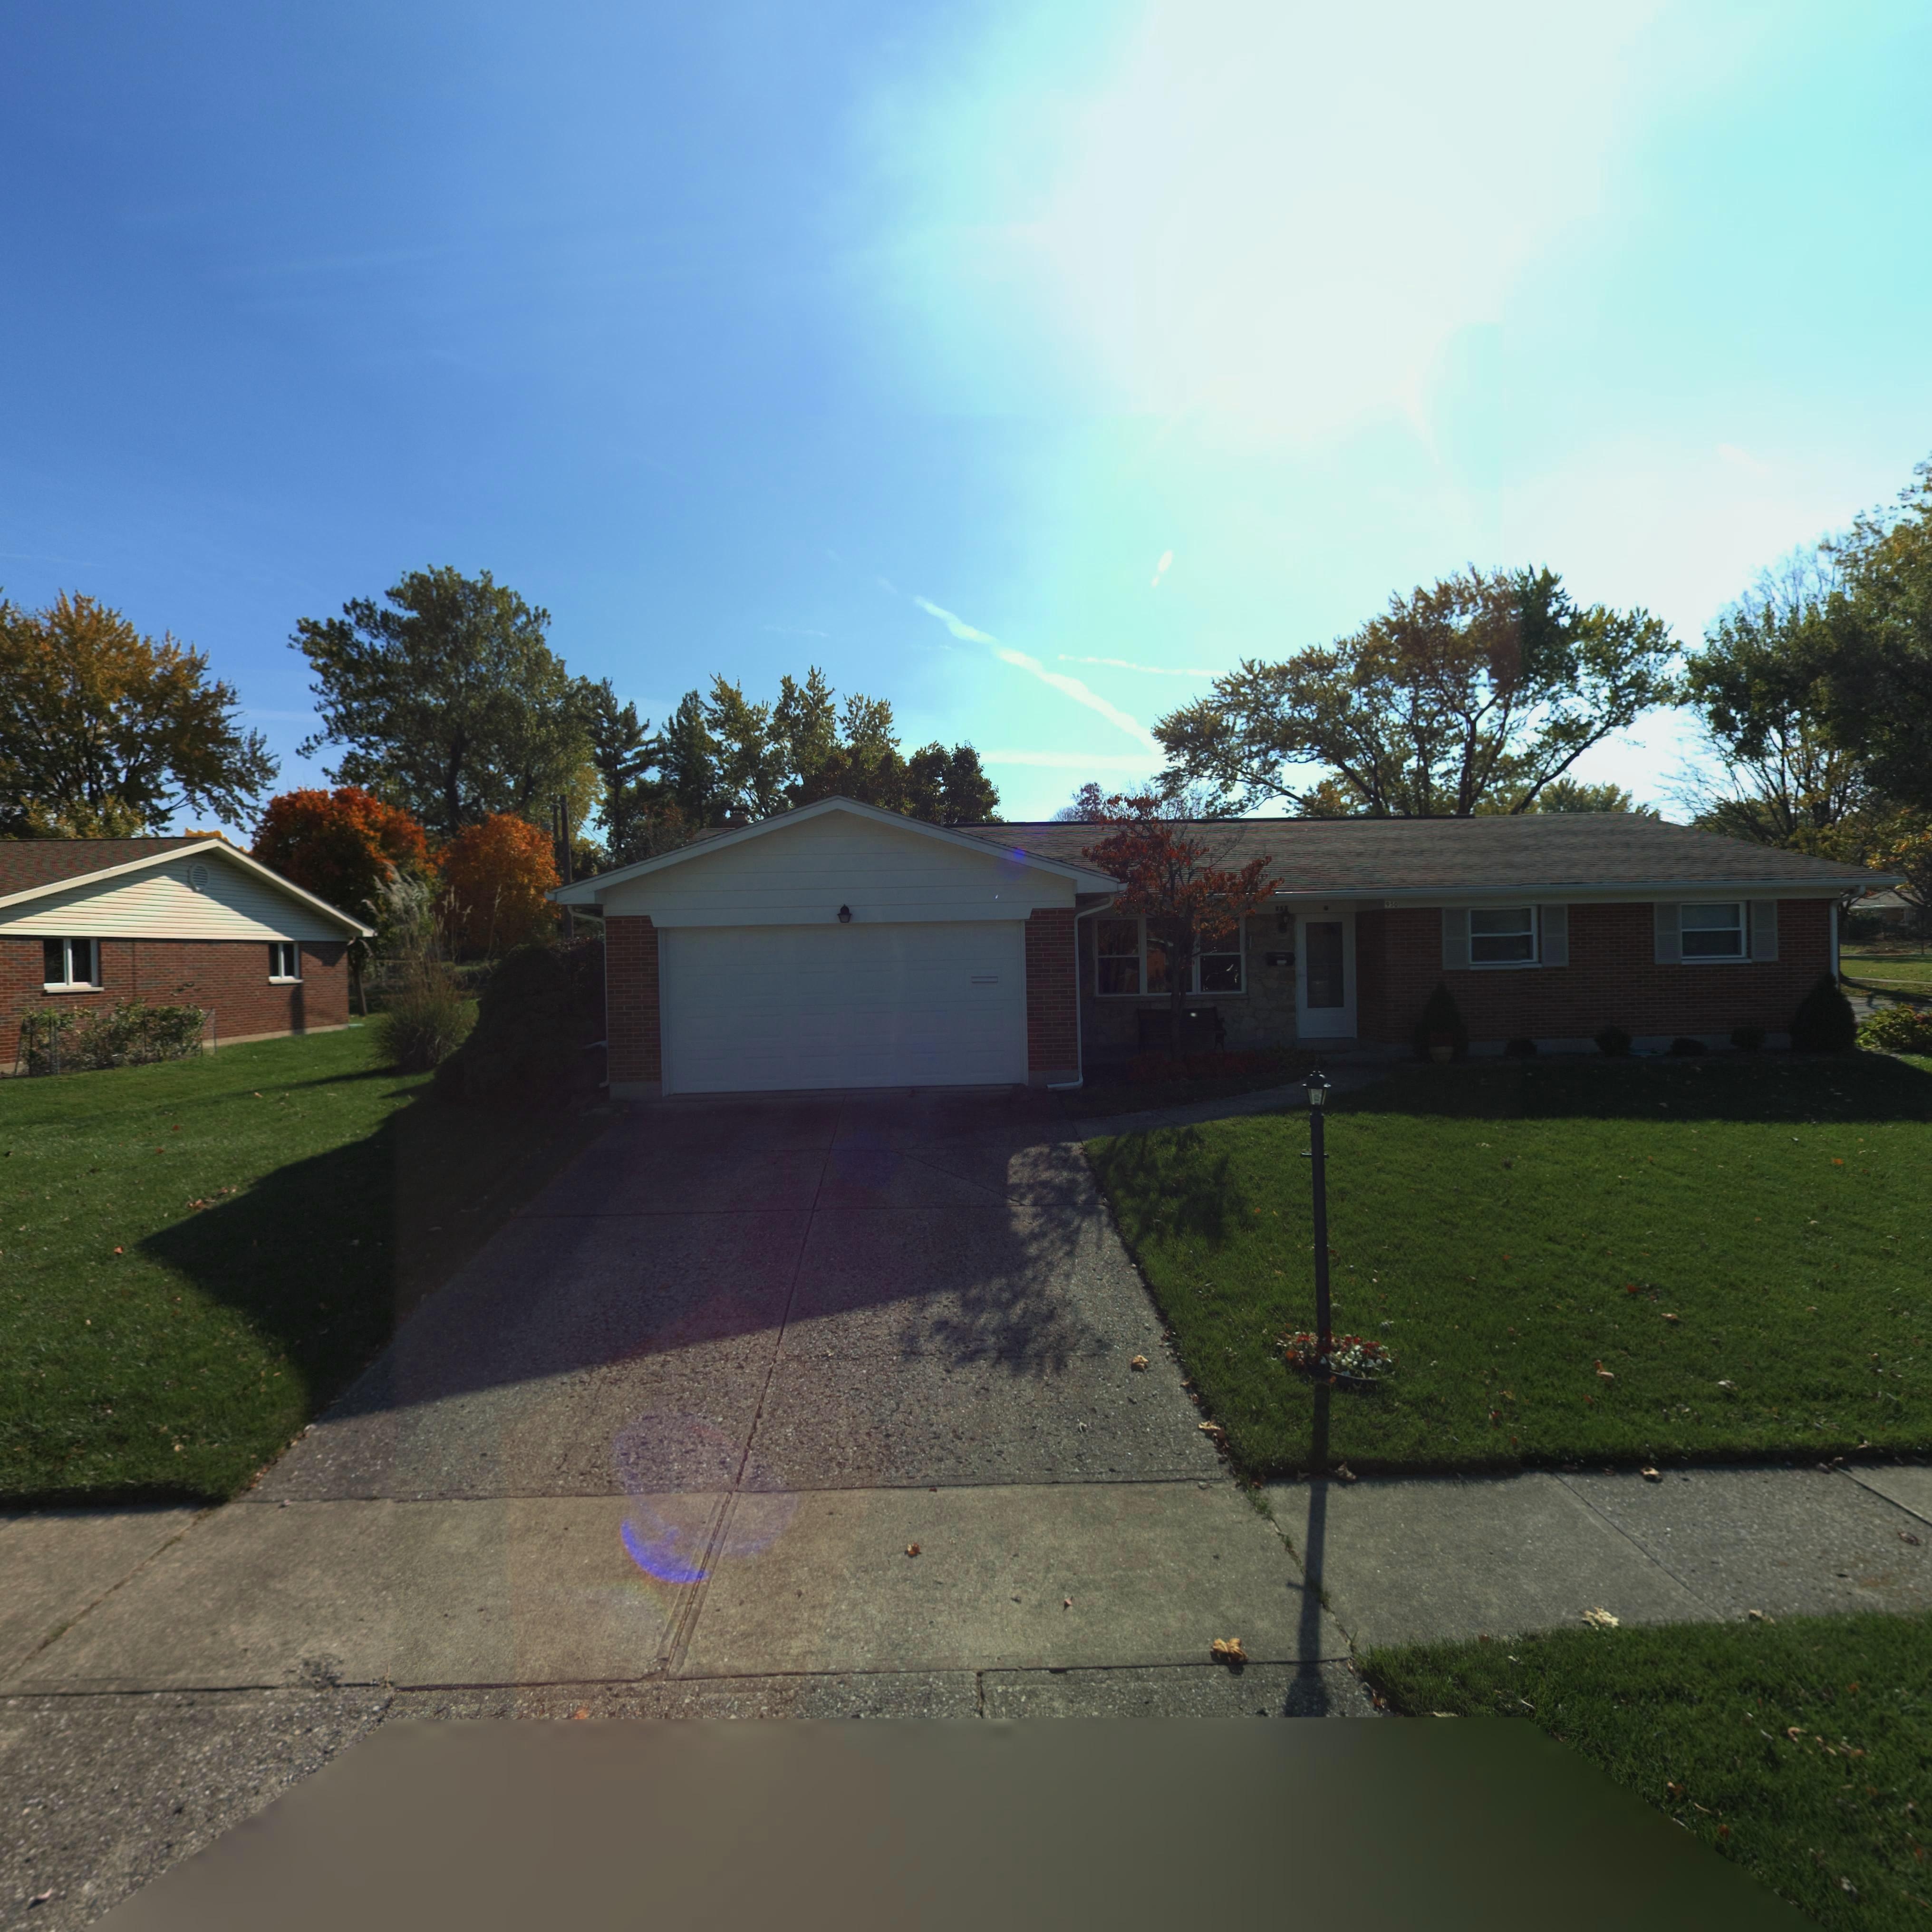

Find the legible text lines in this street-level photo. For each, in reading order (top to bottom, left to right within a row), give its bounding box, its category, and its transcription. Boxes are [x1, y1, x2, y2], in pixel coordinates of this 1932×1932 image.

[1385, 900, 1399, 908] StreetNumber: 950